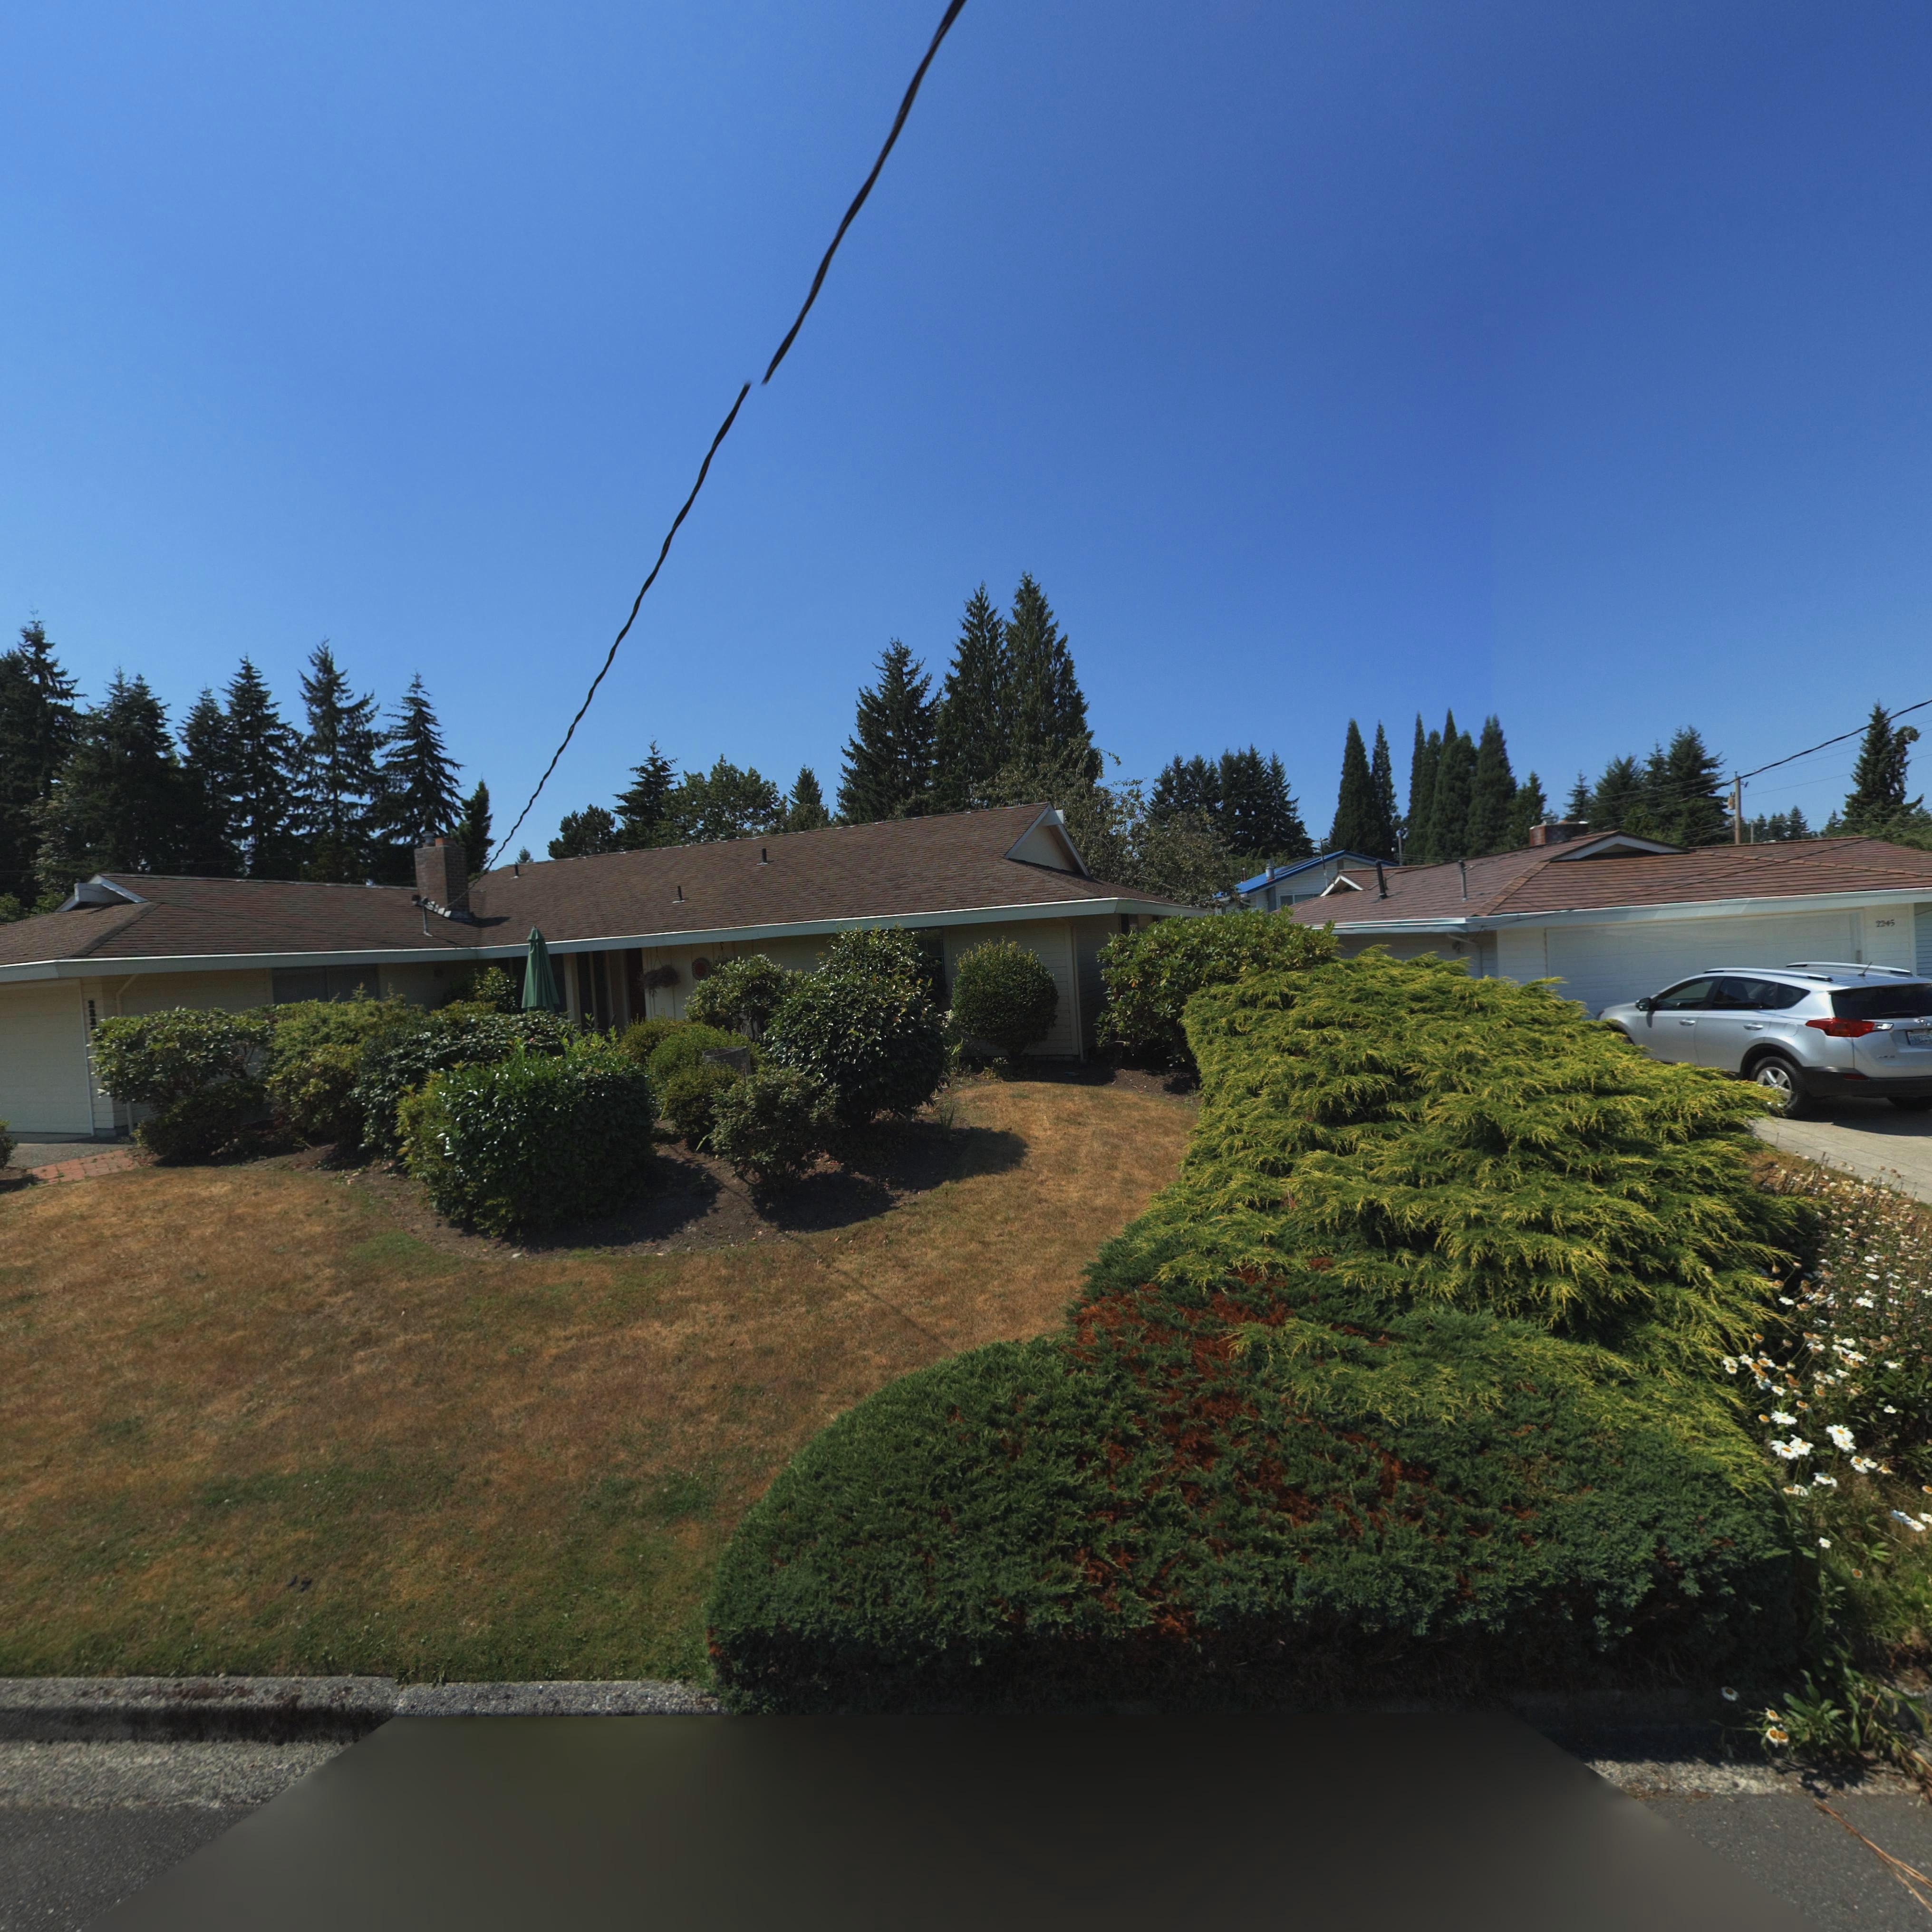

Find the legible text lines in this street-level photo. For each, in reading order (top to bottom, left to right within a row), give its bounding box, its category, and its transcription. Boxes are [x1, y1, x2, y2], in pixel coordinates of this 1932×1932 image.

[1875, 918, 1895, 927] StreetNumber: 2245